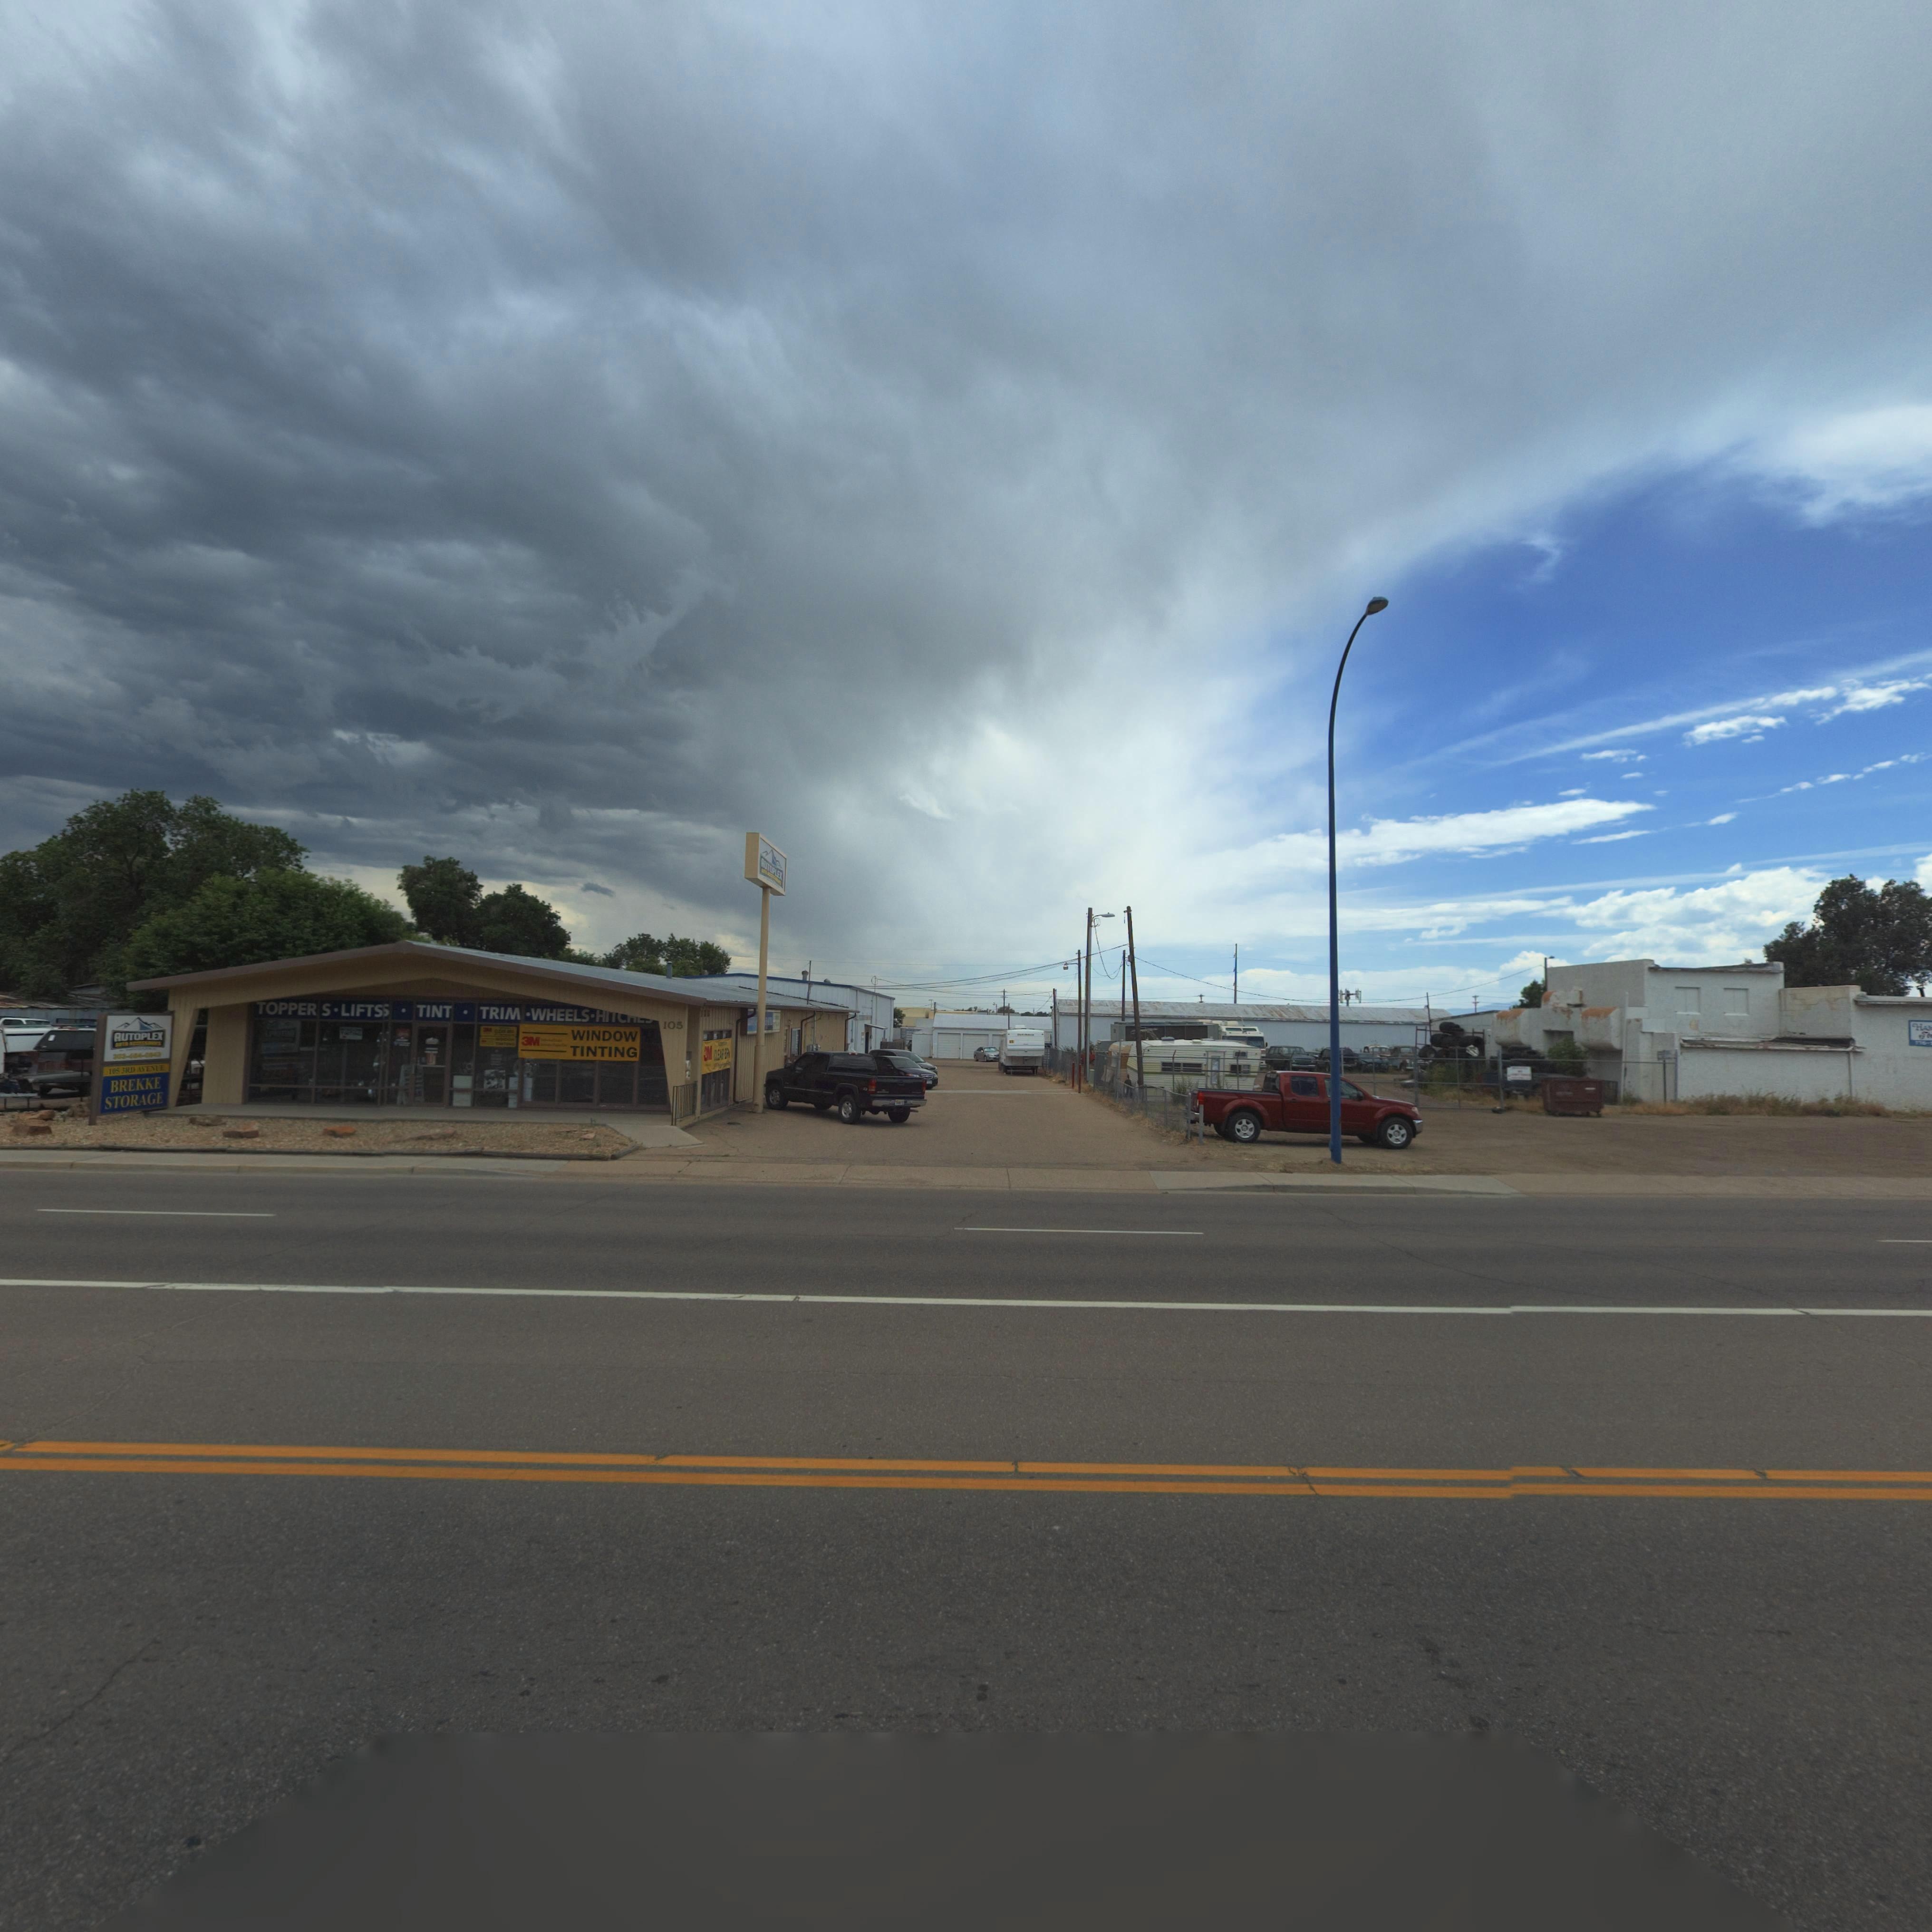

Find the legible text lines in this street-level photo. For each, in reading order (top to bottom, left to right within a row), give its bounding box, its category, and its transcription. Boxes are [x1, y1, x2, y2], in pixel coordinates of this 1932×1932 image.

[760, 857, 782, 881] BusinessName: AUTOPLEX
[761, 868, 781, 885] BusinessName: AUTO ACCESSORIES
[663, 1021, 683, 1029] StreetNumber: 105
[1911, 1022, 1929, 1031] BusinessName: HA
[114, 1031, 163, 1042] BusinessName: AUTOPLEX
[114, 1040, 161, 1047] BusinessName: AUTO ACCESSORIES
[109, 1064, 164, 1074] StreetNumber: 105 3RD AVENUE
[110, 1076, 161, 1093] BusinessName: BREKKE
[104, 1091, 163, 1110] BusinessName: STORAGE